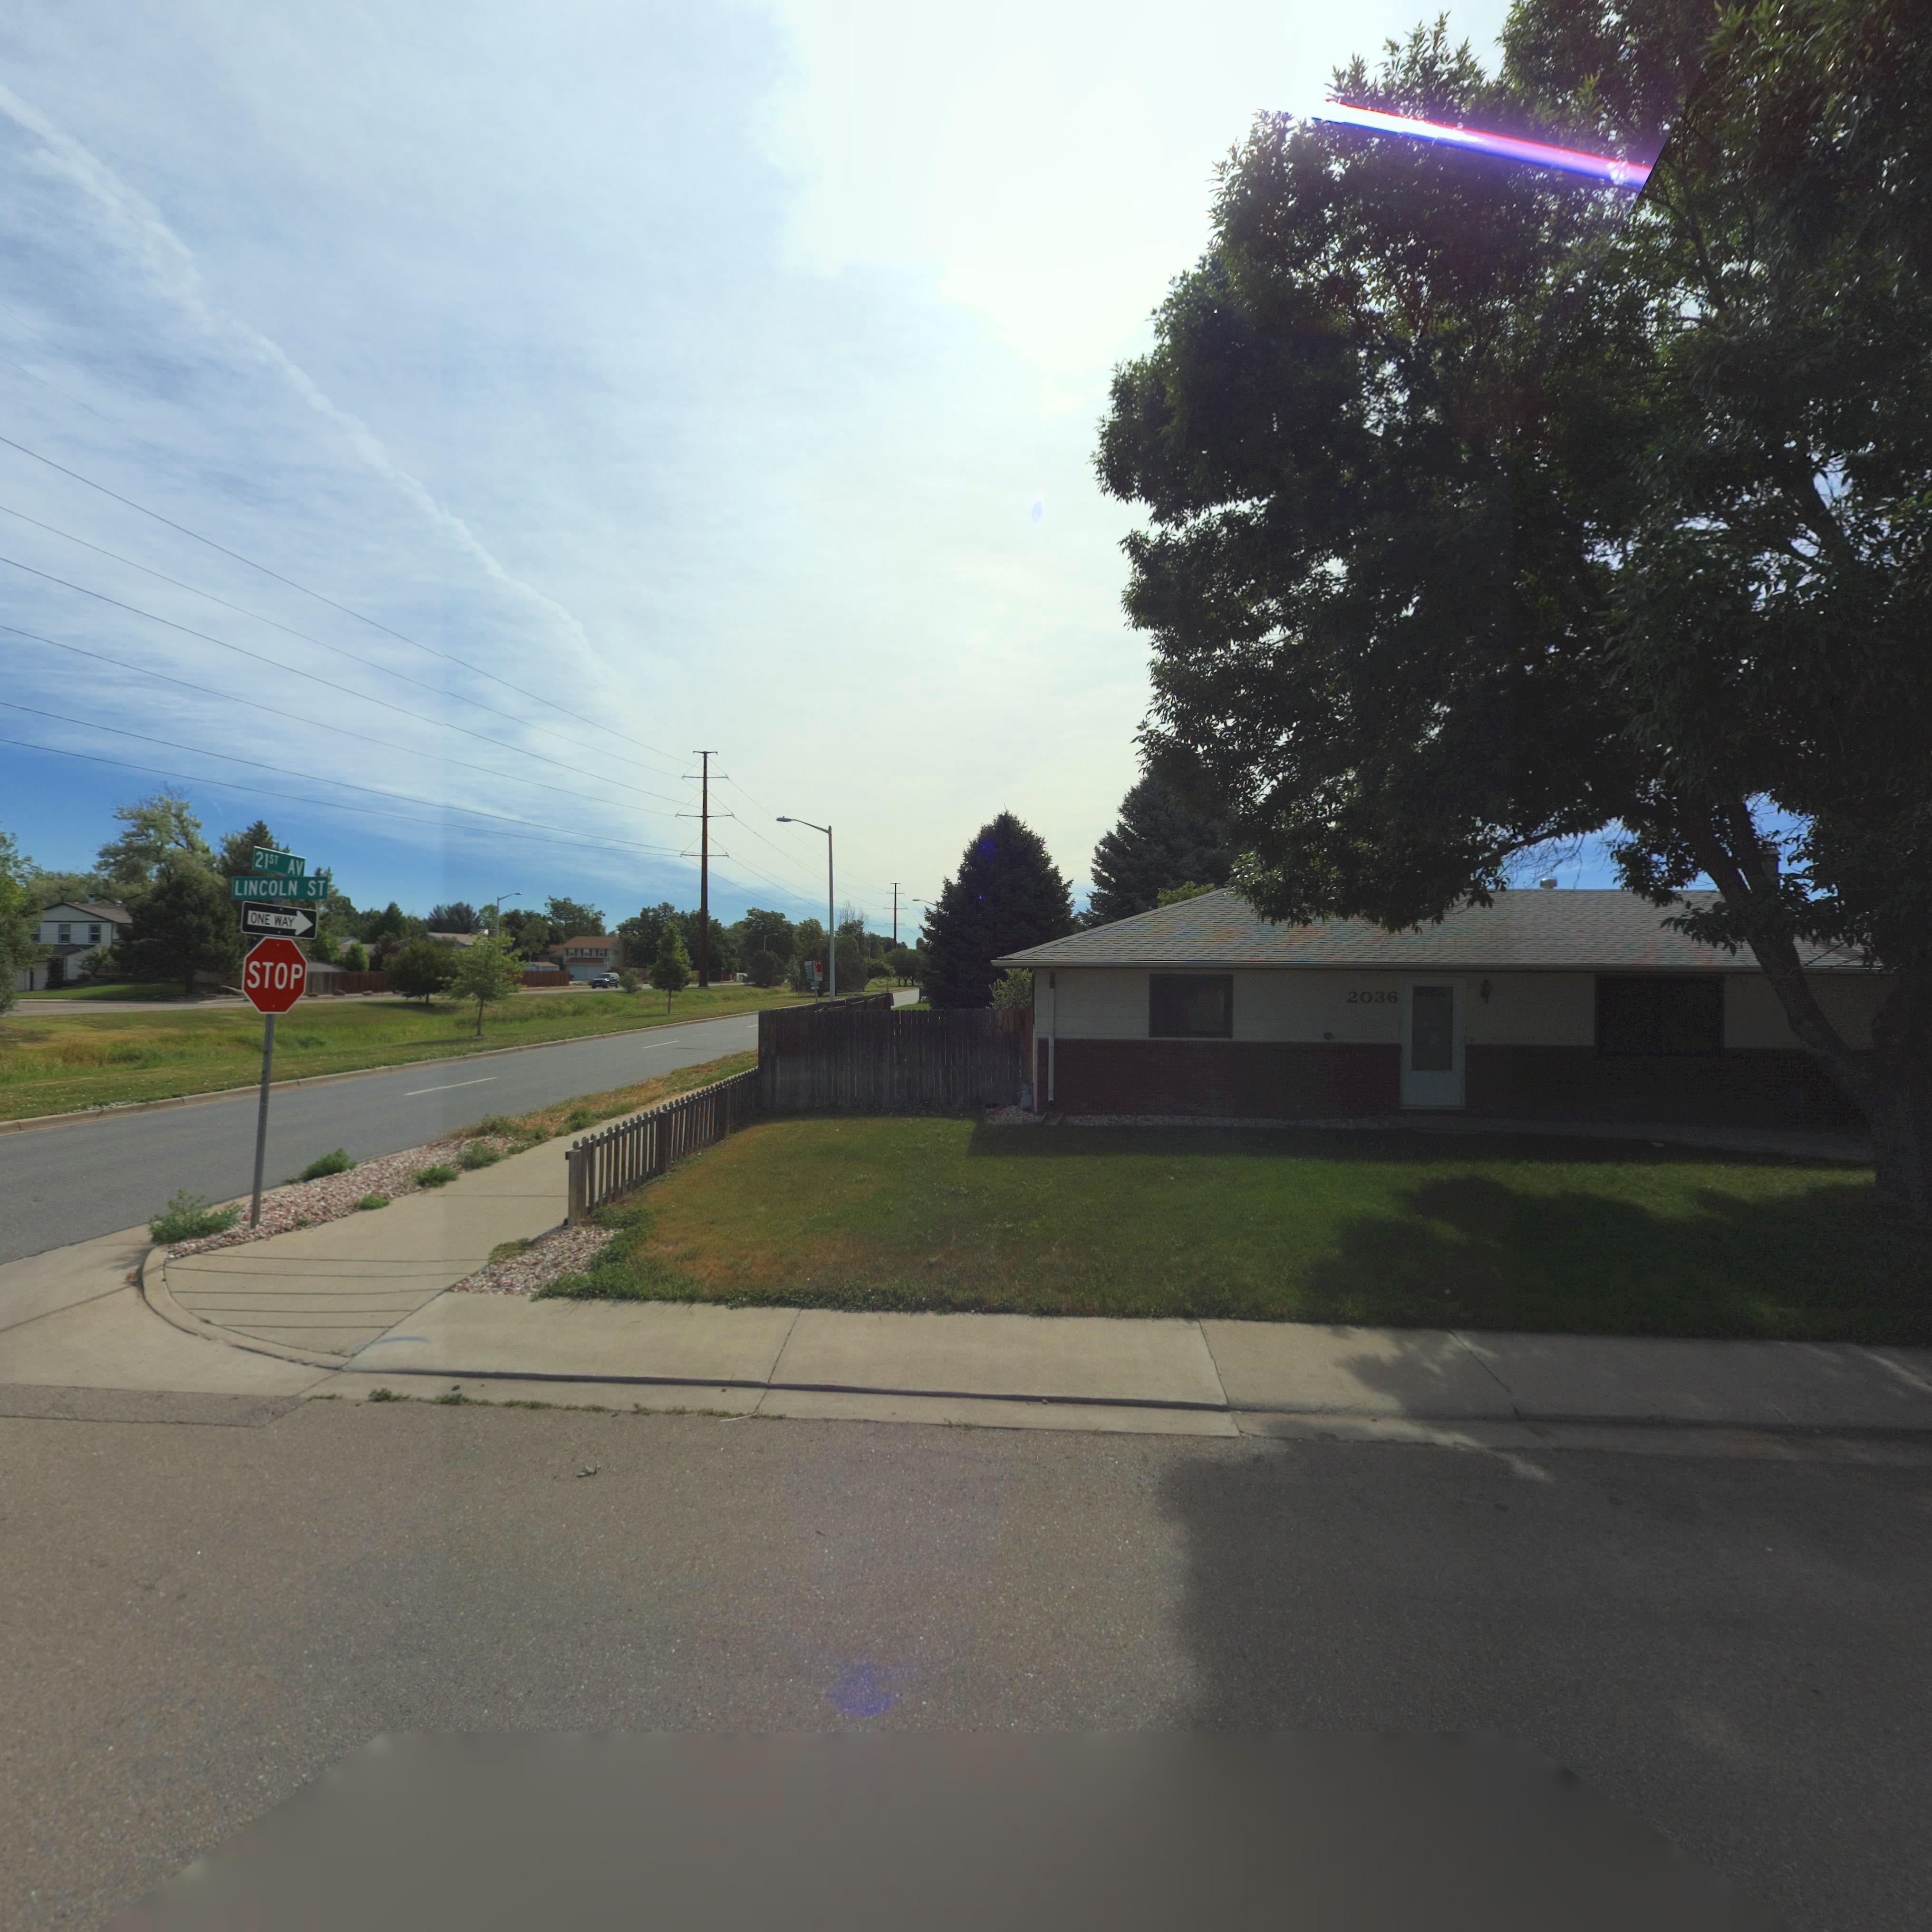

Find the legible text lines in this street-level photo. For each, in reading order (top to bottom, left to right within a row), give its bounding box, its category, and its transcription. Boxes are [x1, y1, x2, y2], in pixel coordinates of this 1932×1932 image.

[254, 851, 303, 876] StreetName: 21ST AV
[234, 879, 325, 896] StreetName: LINCOLN ST
[1347, 990, 1398, 1004] StreetNumber: 2036